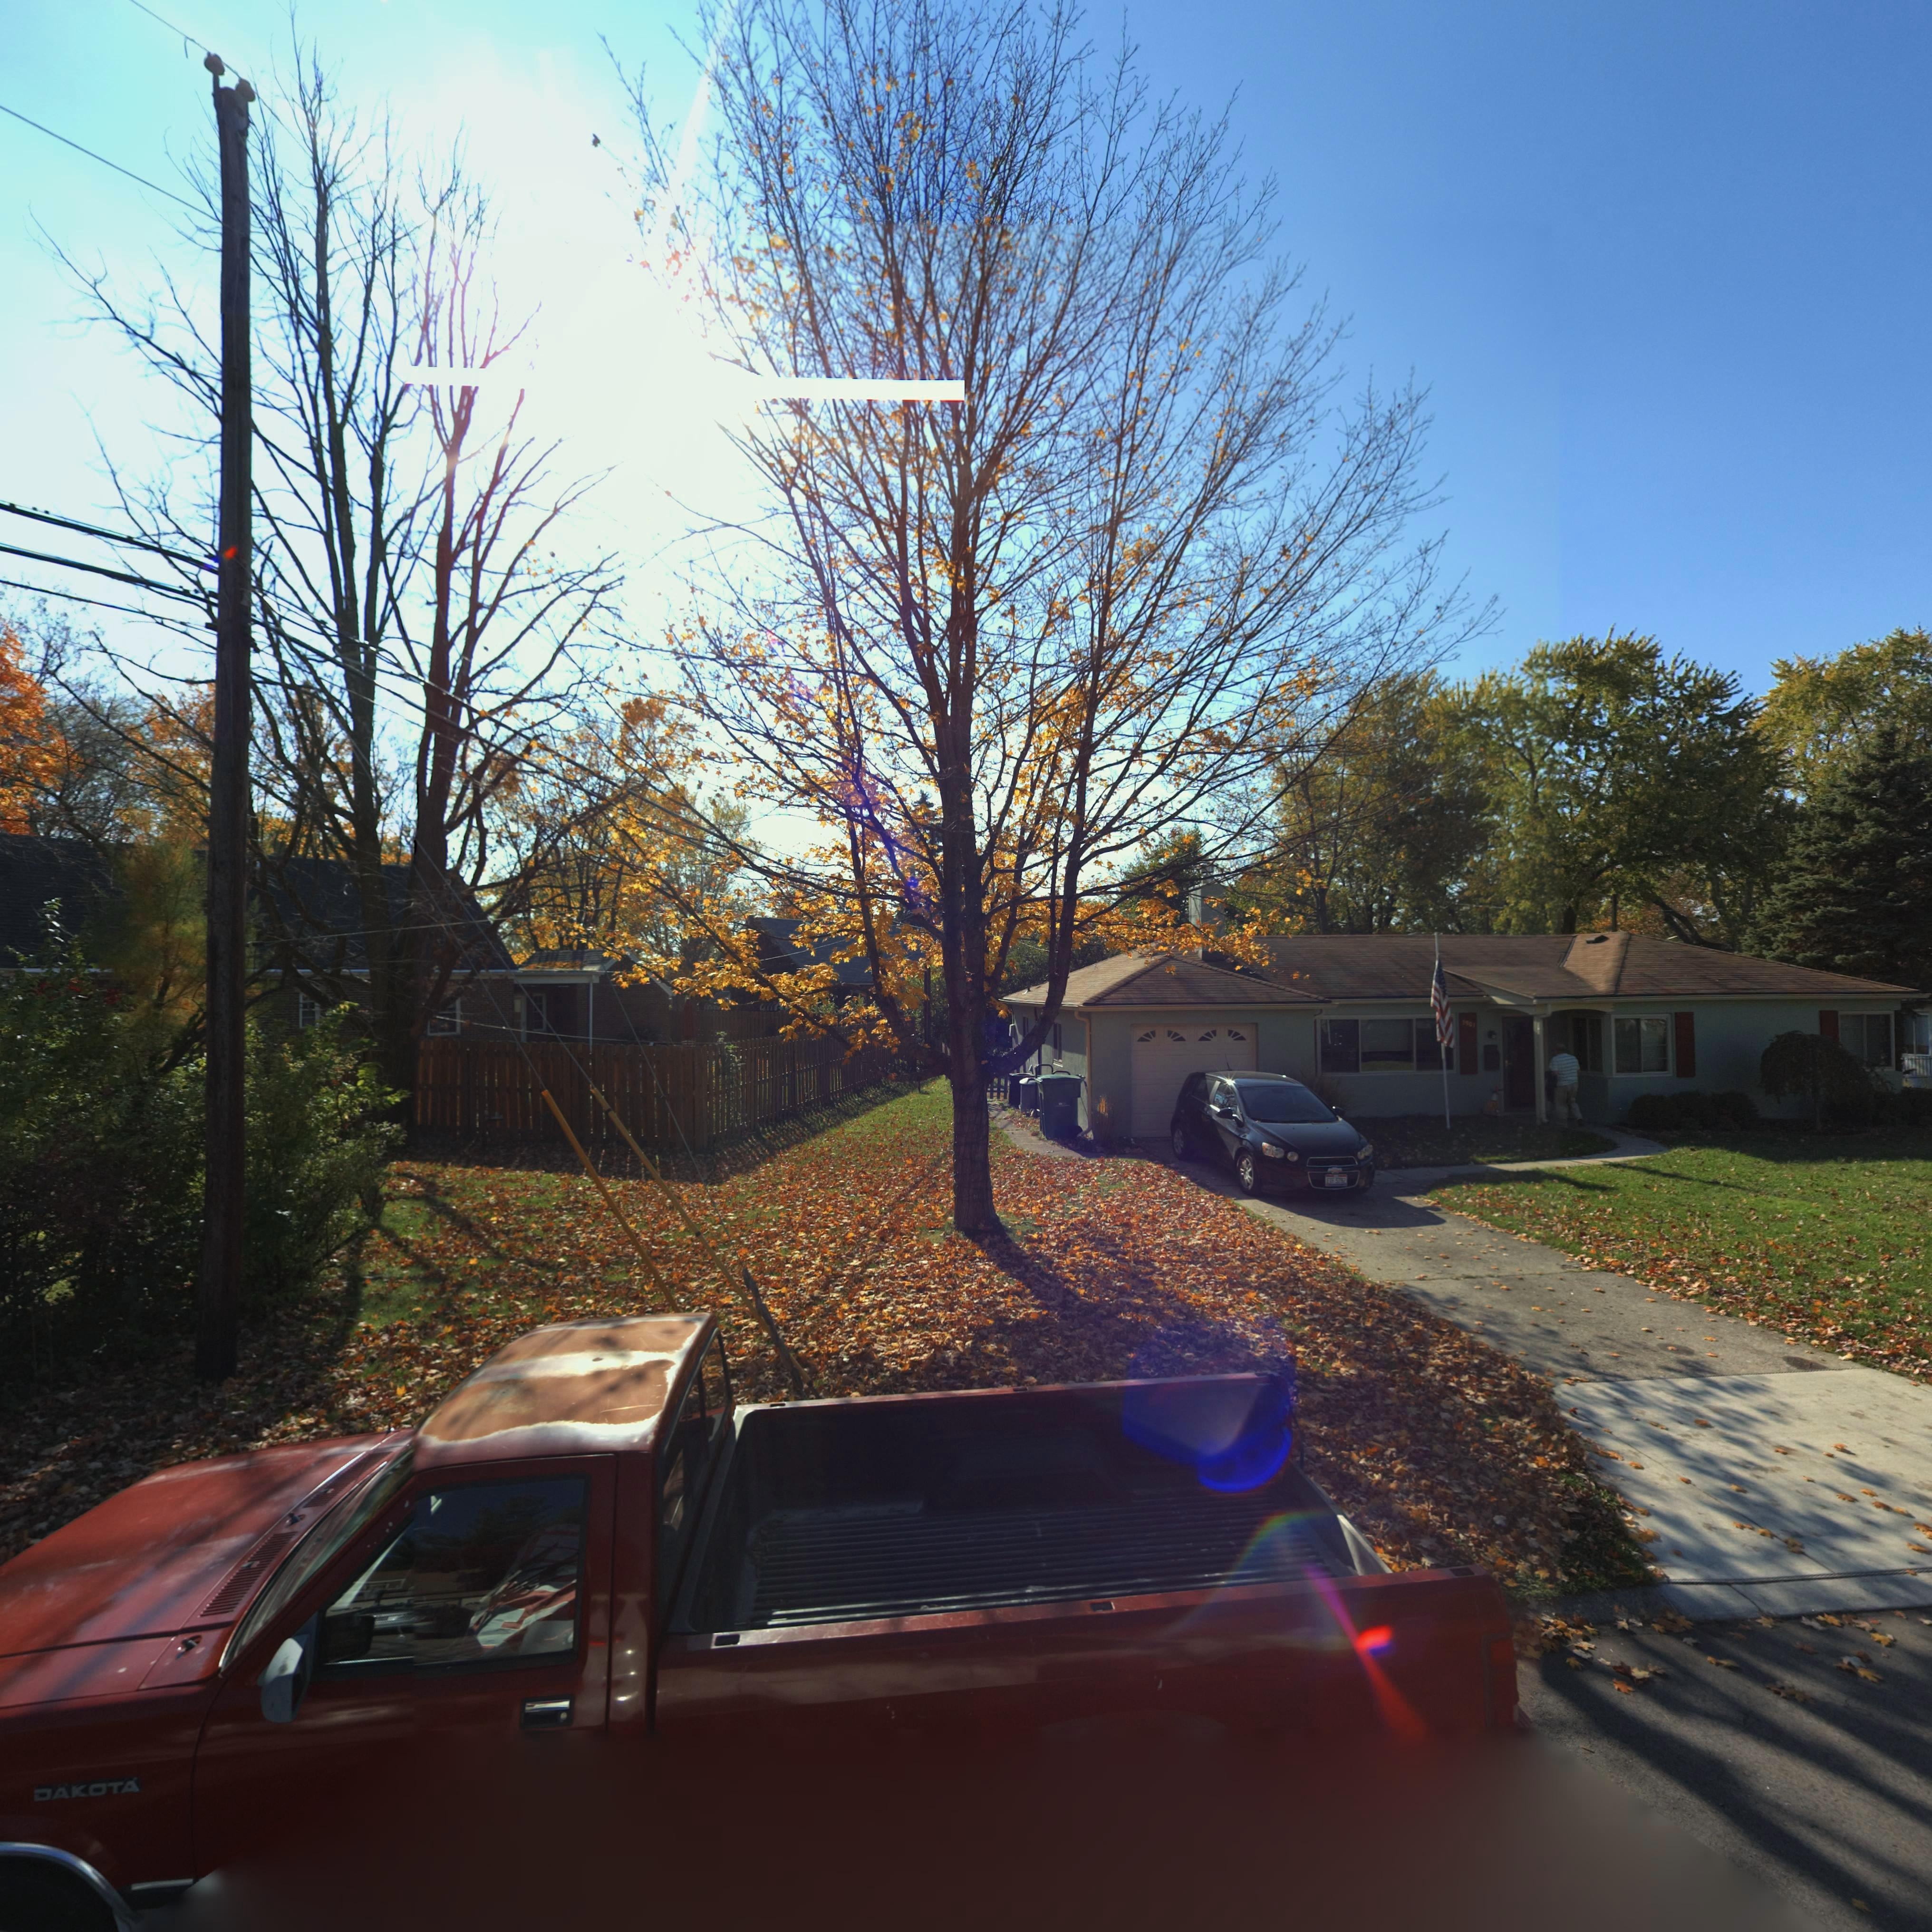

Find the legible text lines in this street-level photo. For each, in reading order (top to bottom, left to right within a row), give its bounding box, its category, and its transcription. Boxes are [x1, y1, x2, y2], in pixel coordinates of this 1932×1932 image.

[1462, 1018, 1477, 1029] StreetNumber: *901